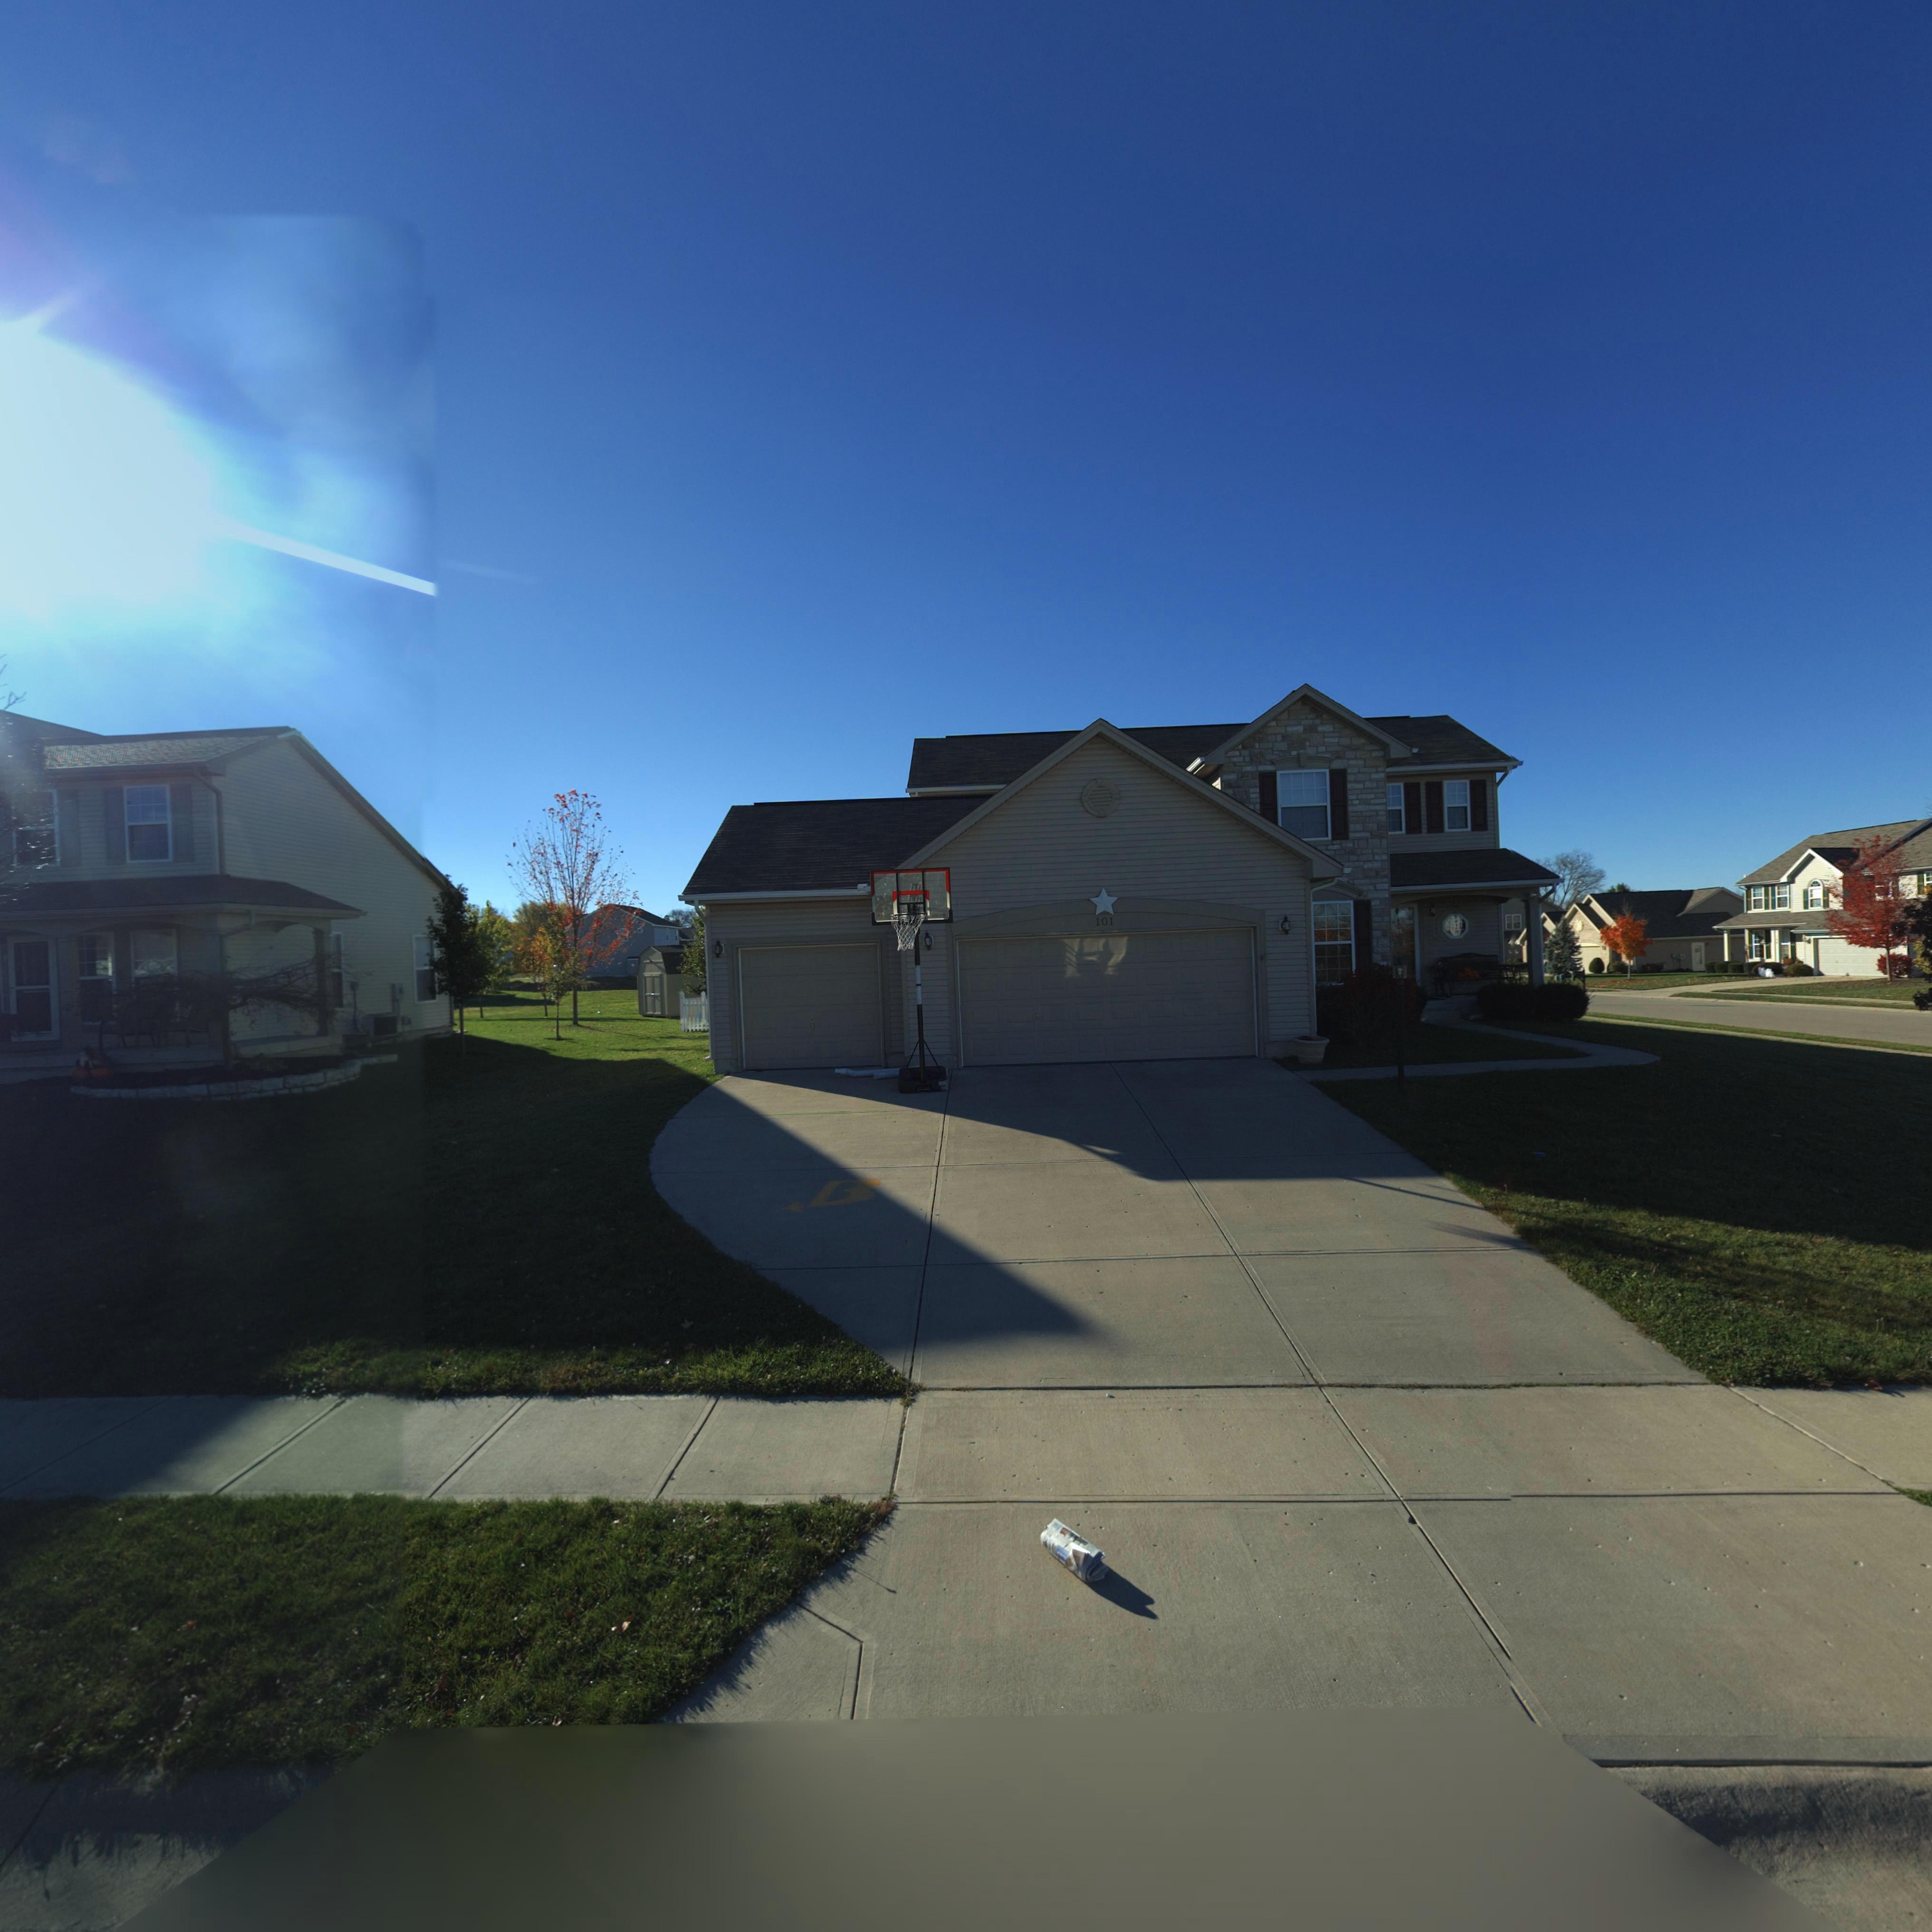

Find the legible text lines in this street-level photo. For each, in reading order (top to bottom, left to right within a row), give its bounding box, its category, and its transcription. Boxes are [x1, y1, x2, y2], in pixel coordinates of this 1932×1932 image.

[1095, 916, 1114, 927] StreetNumber: 101